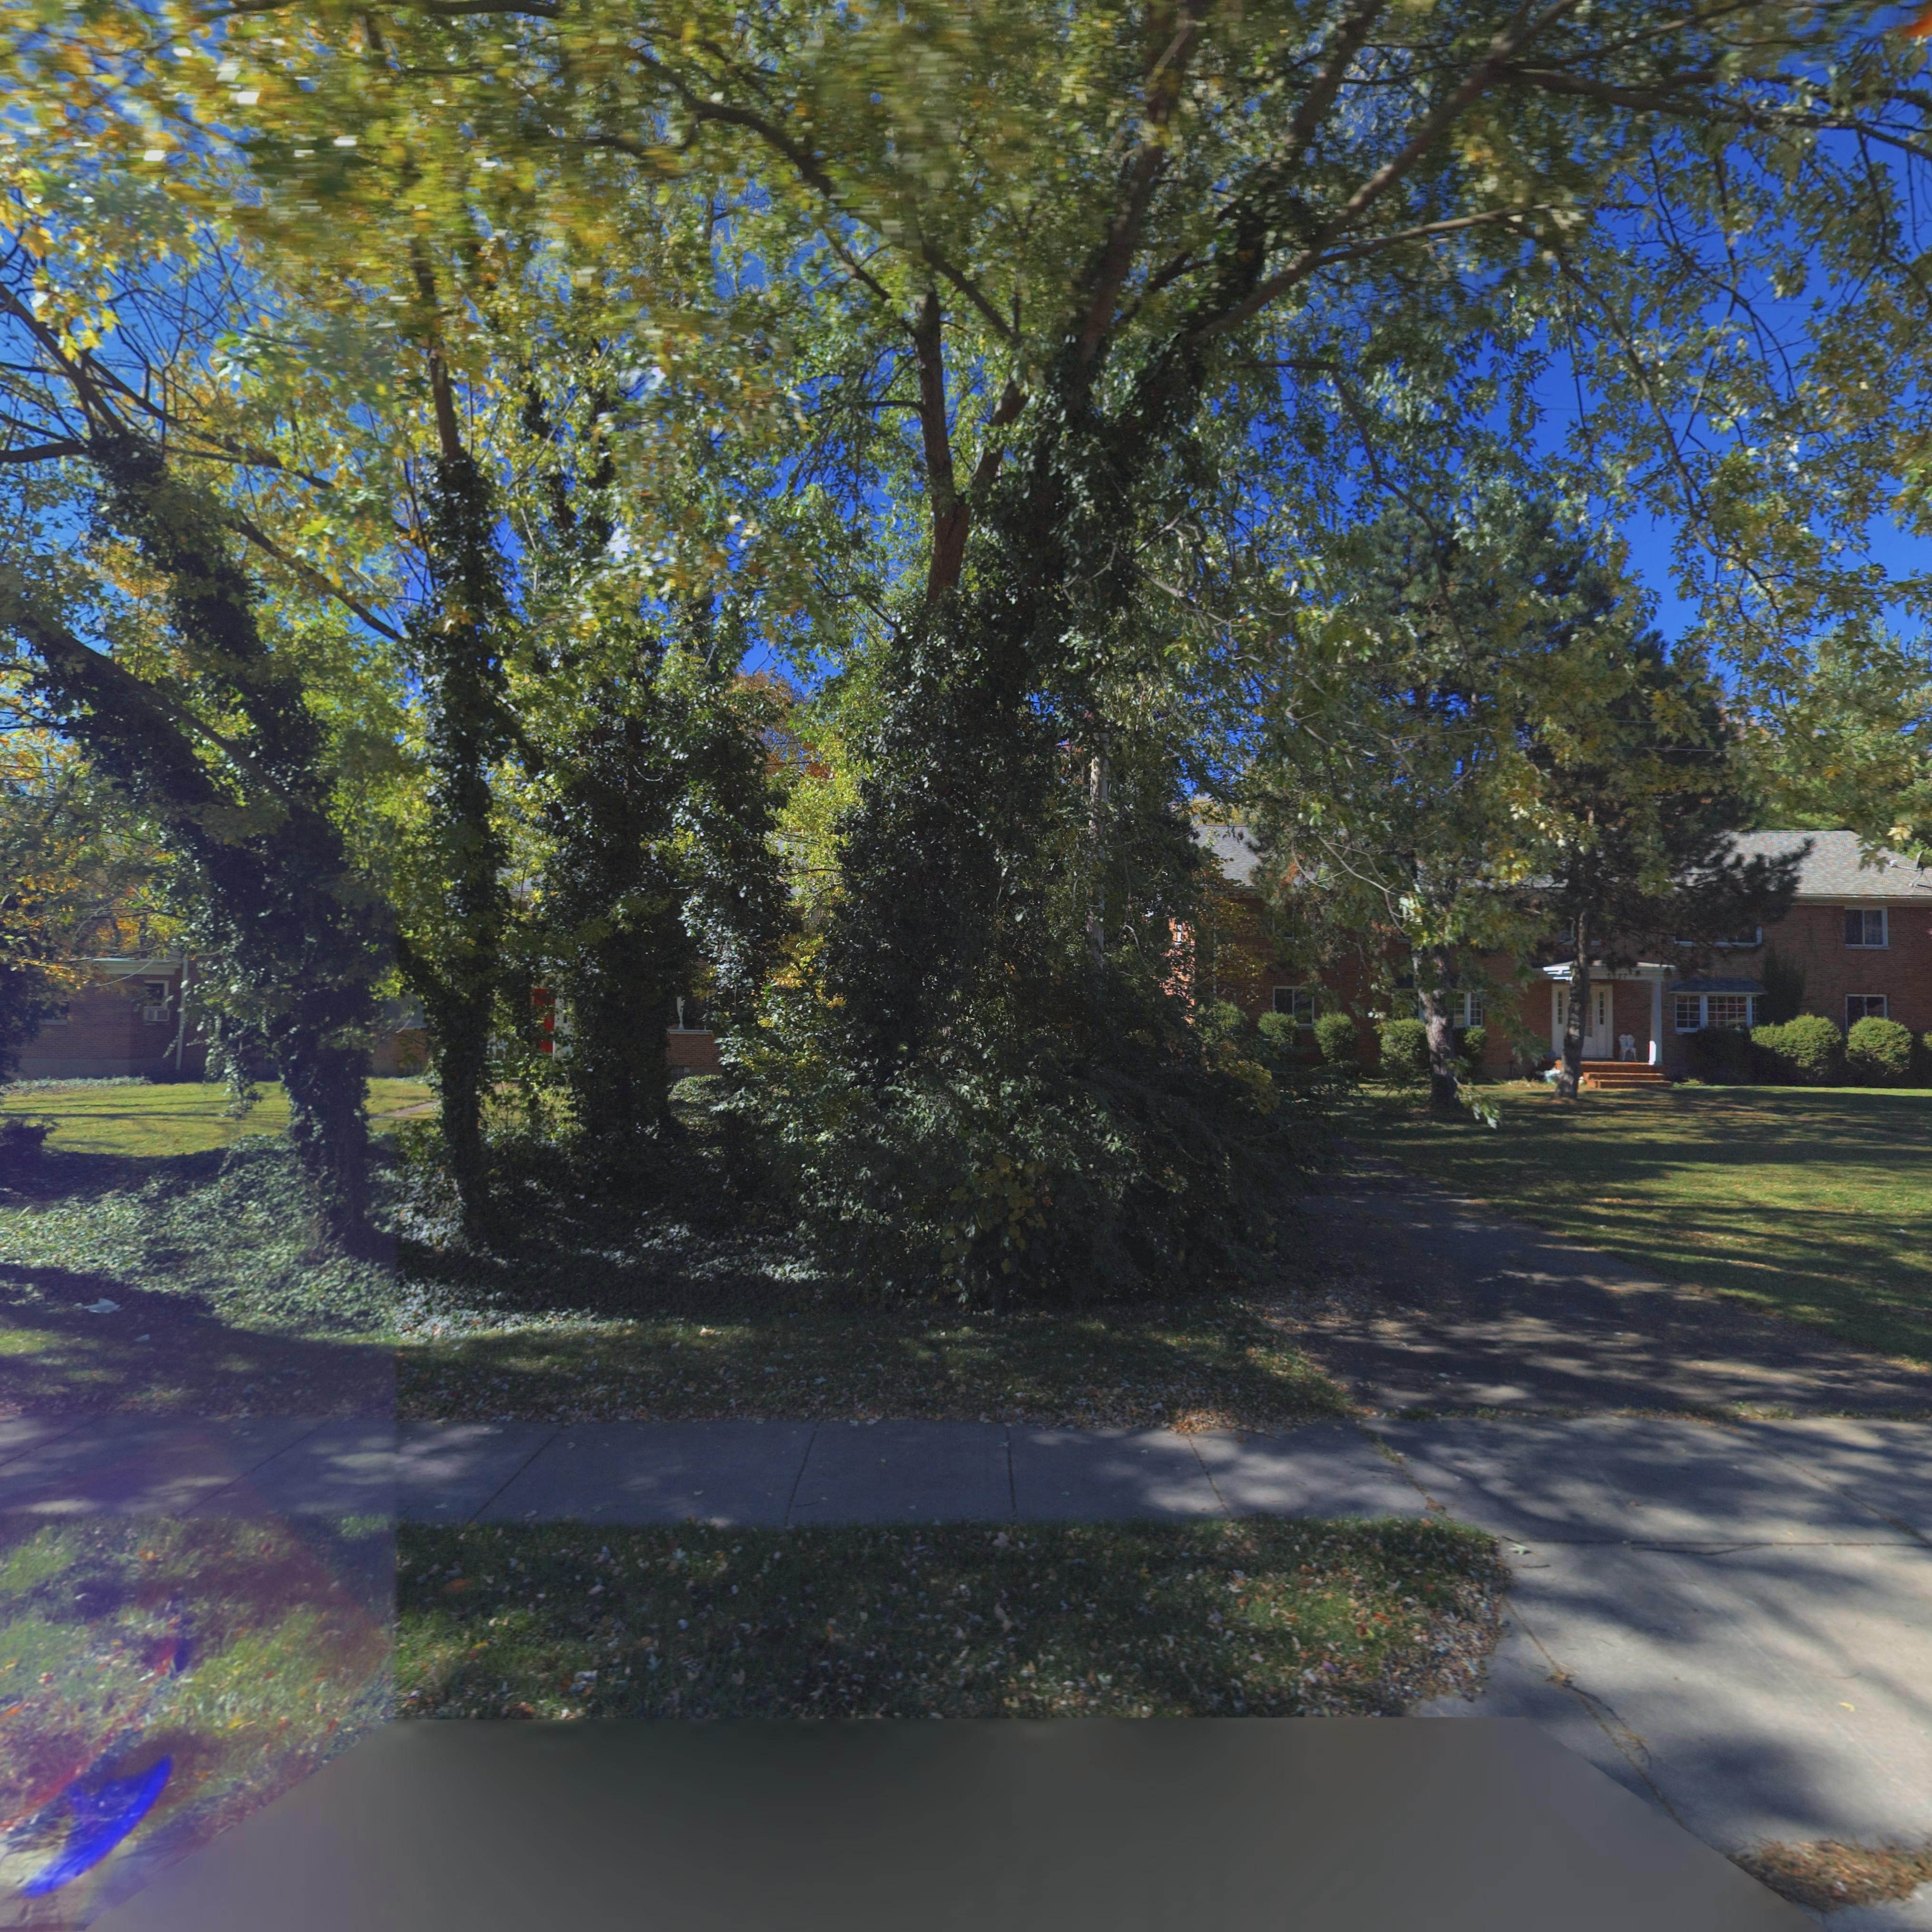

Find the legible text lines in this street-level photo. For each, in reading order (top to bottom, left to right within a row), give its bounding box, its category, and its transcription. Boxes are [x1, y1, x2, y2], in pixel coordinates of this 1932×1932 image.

[1606, 973, 1627, 979] StreetNumber: 5027